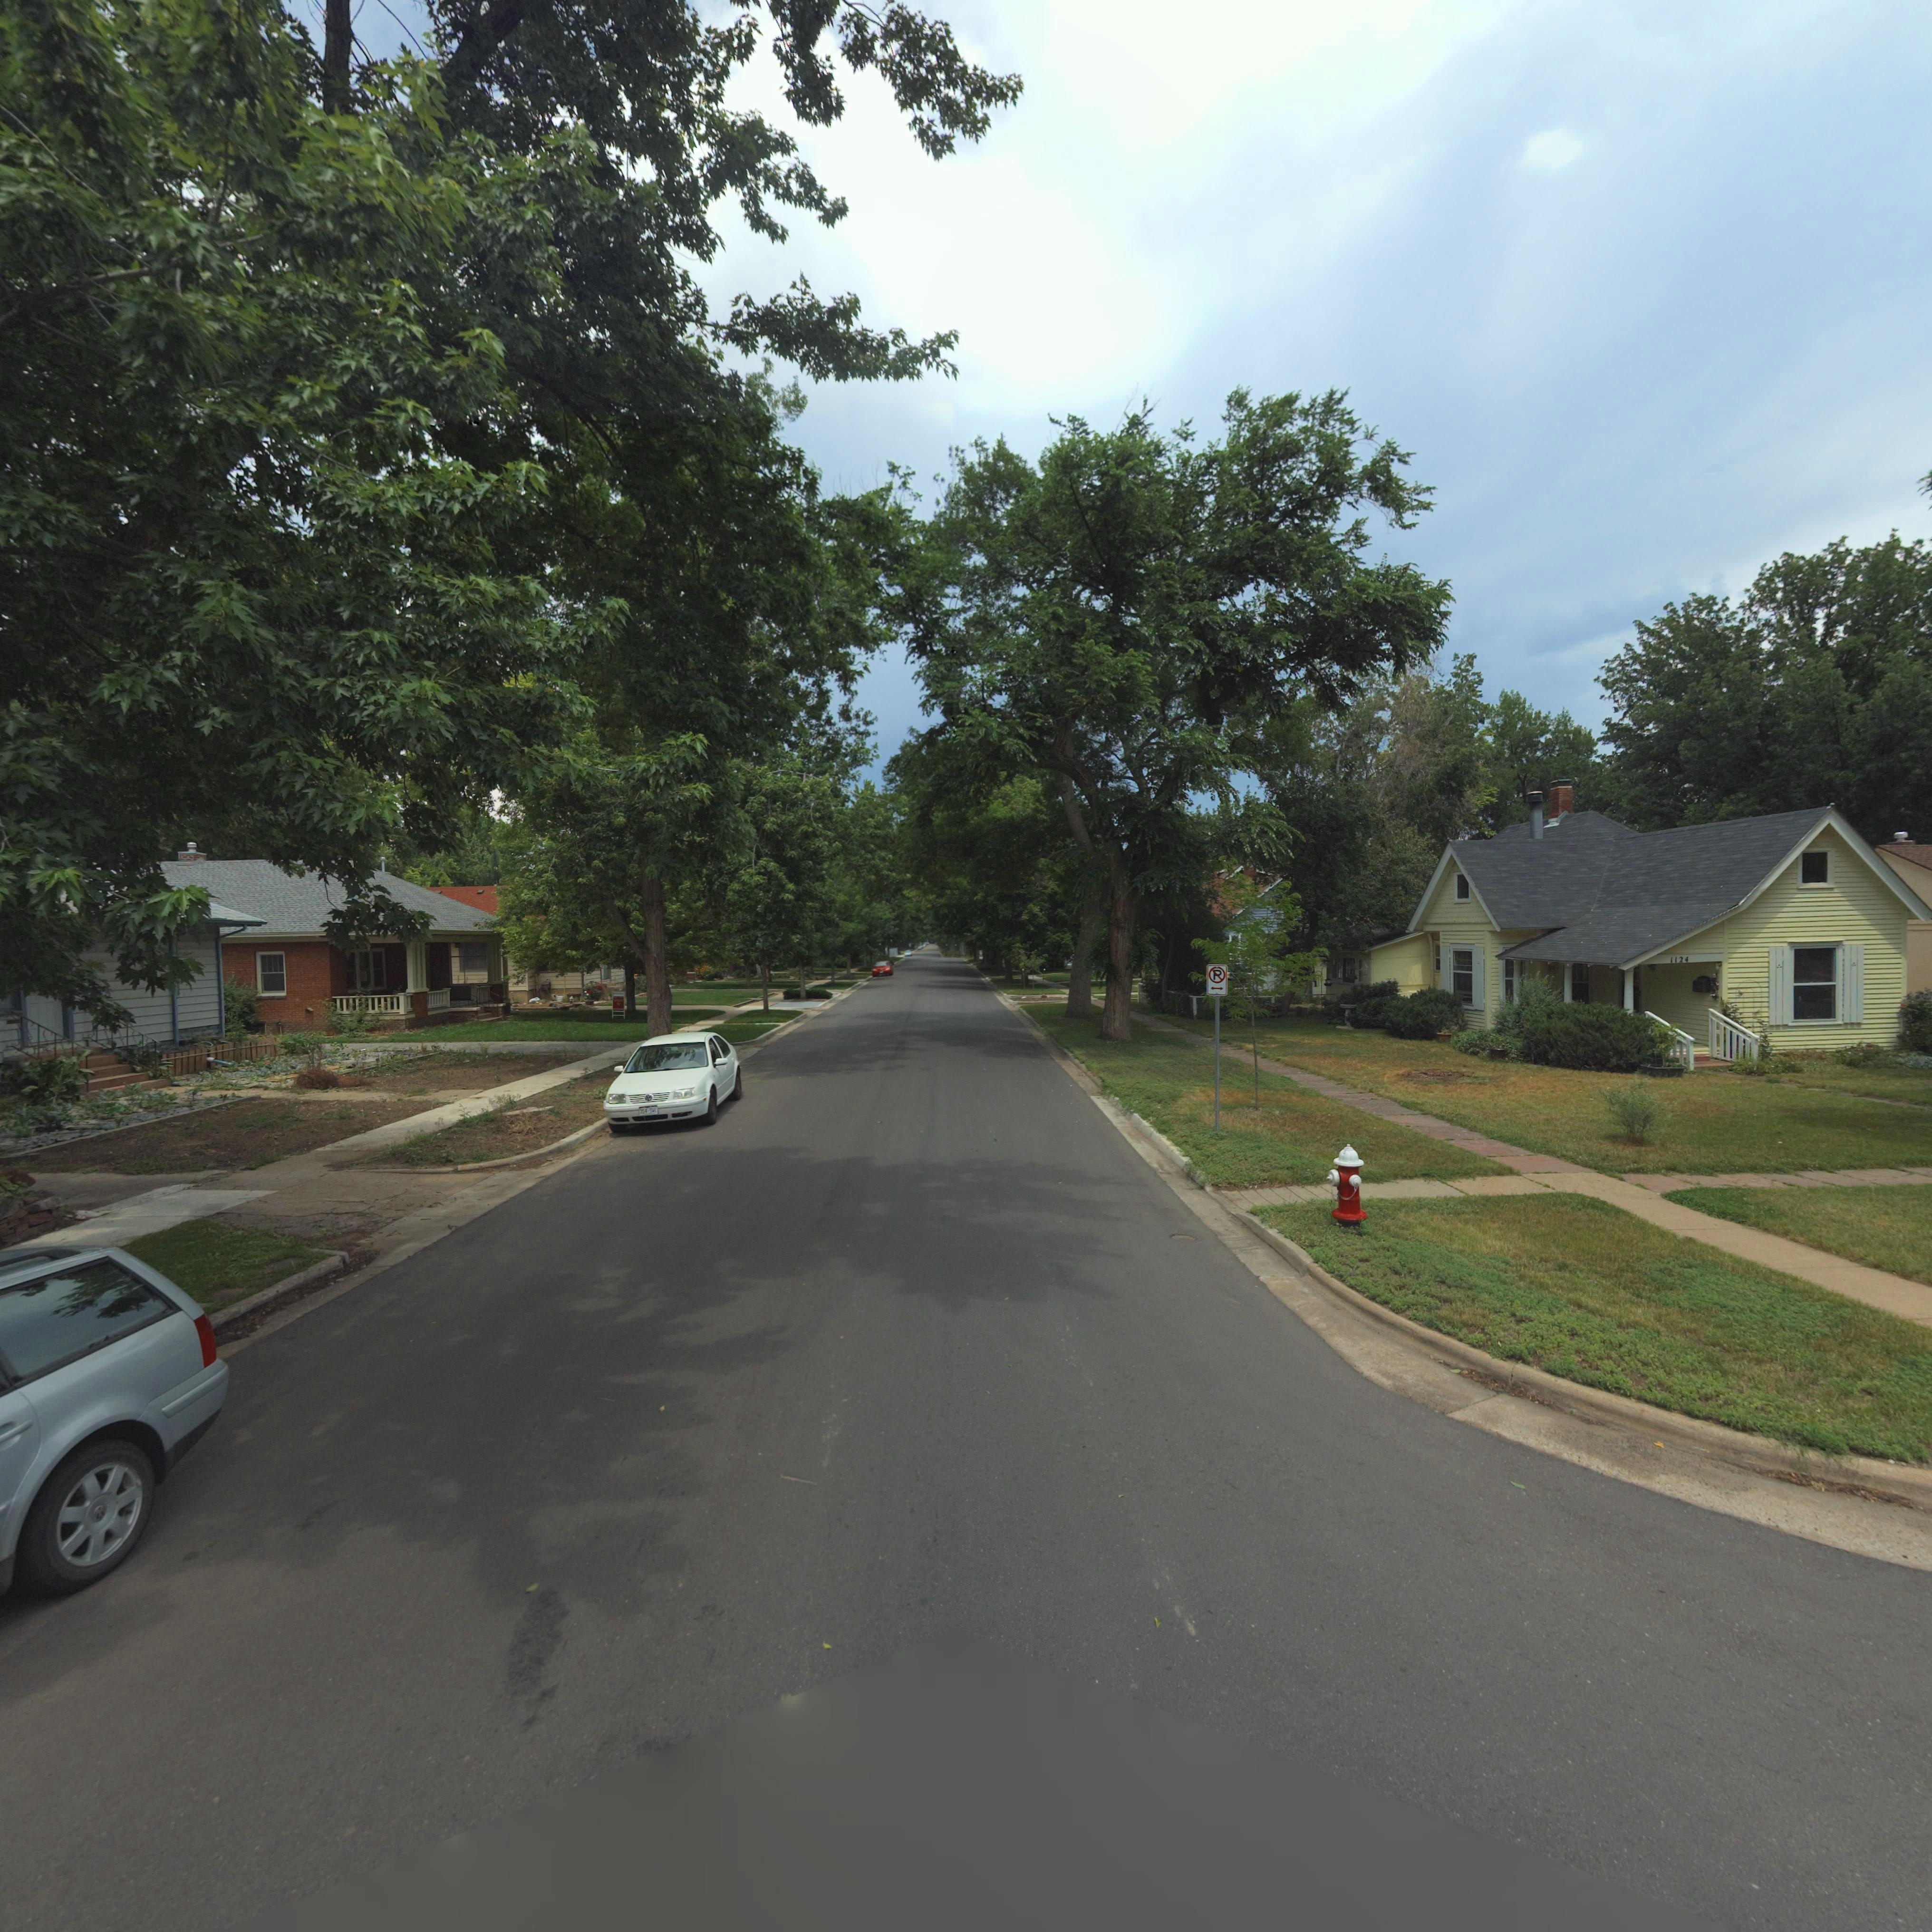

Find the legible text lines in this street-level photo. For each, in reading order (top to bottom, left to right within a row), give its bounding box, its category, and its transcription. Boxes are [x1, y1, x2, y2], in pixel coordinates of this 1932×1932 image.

[1670, 956, 1689, 964] StreetNumber: 1124